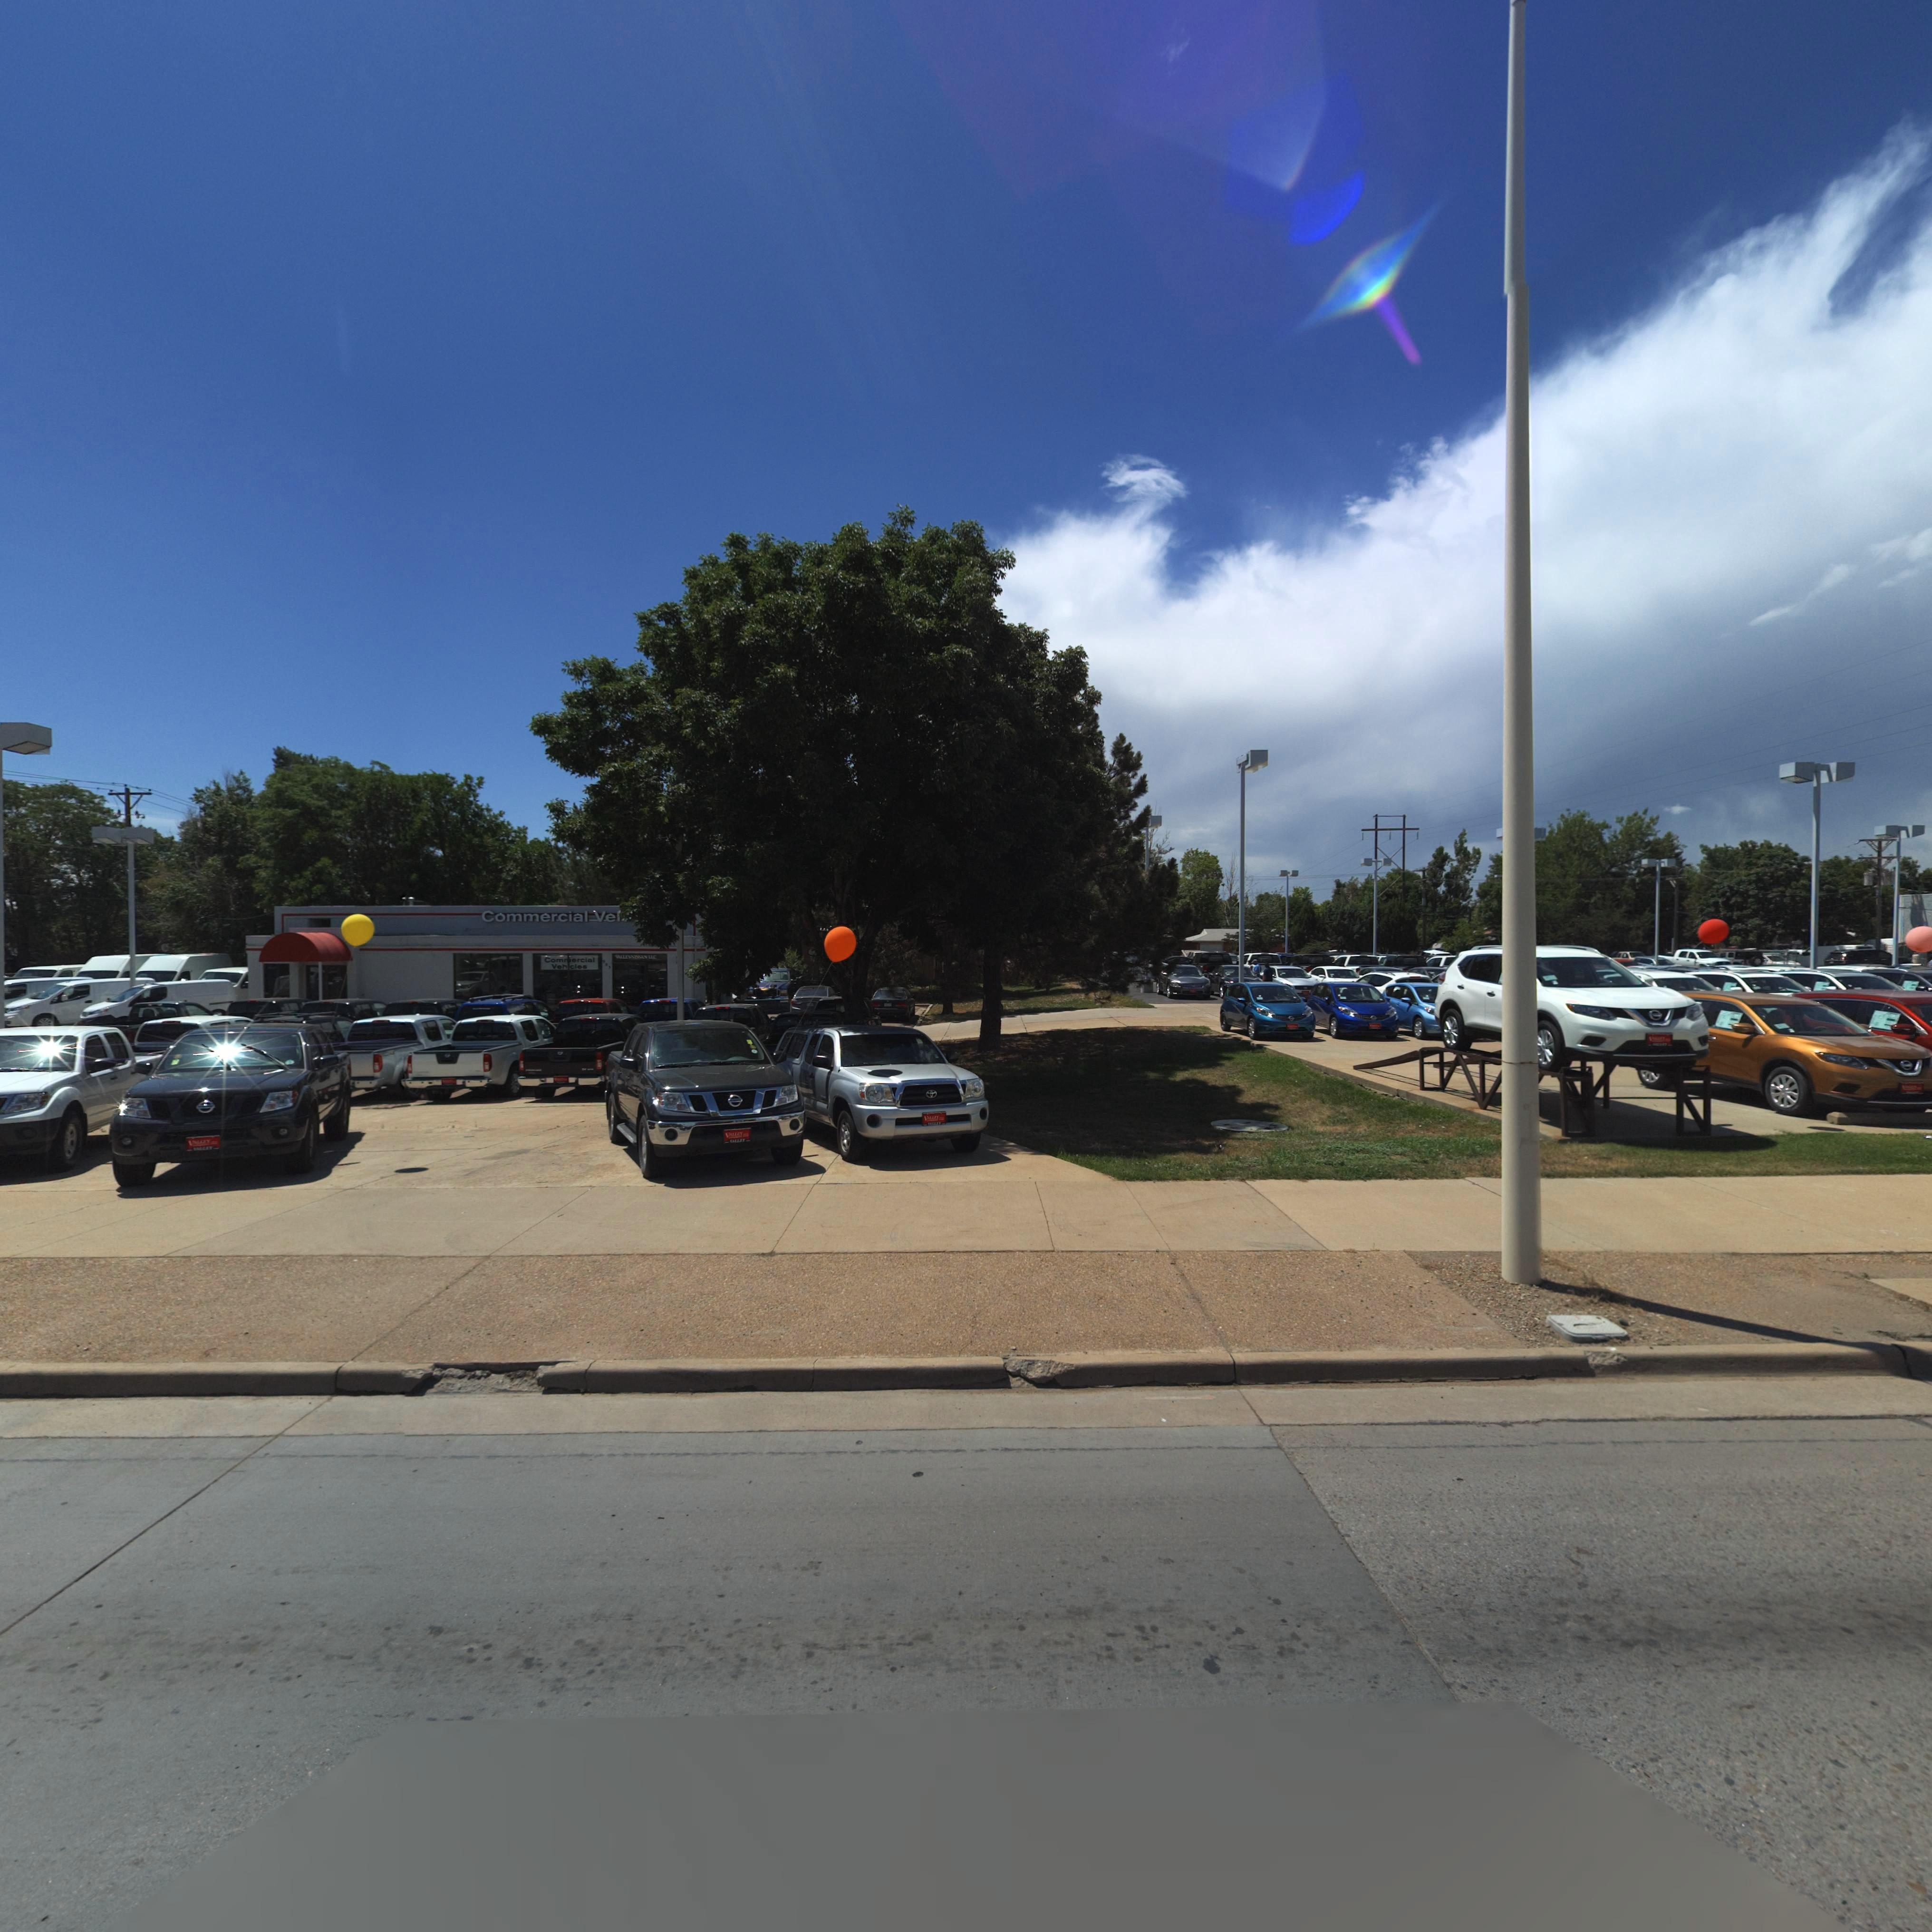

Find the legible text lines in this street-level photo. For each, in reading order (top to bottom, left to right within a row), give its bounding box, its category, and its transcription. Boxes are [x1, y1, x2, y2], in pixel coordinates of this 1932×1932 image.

[481, 909, 616, 923] BusinessName: Commercial Ve
[544, 956, 595, 963] BusinessName: Com*ercial
[615, 954, 657, 959] BusinessName: VALLEYNISSAN LLC
[551, 963, 587, 969] BusinessName: Veh*cles
[602, 959, 611, 970] None: 905